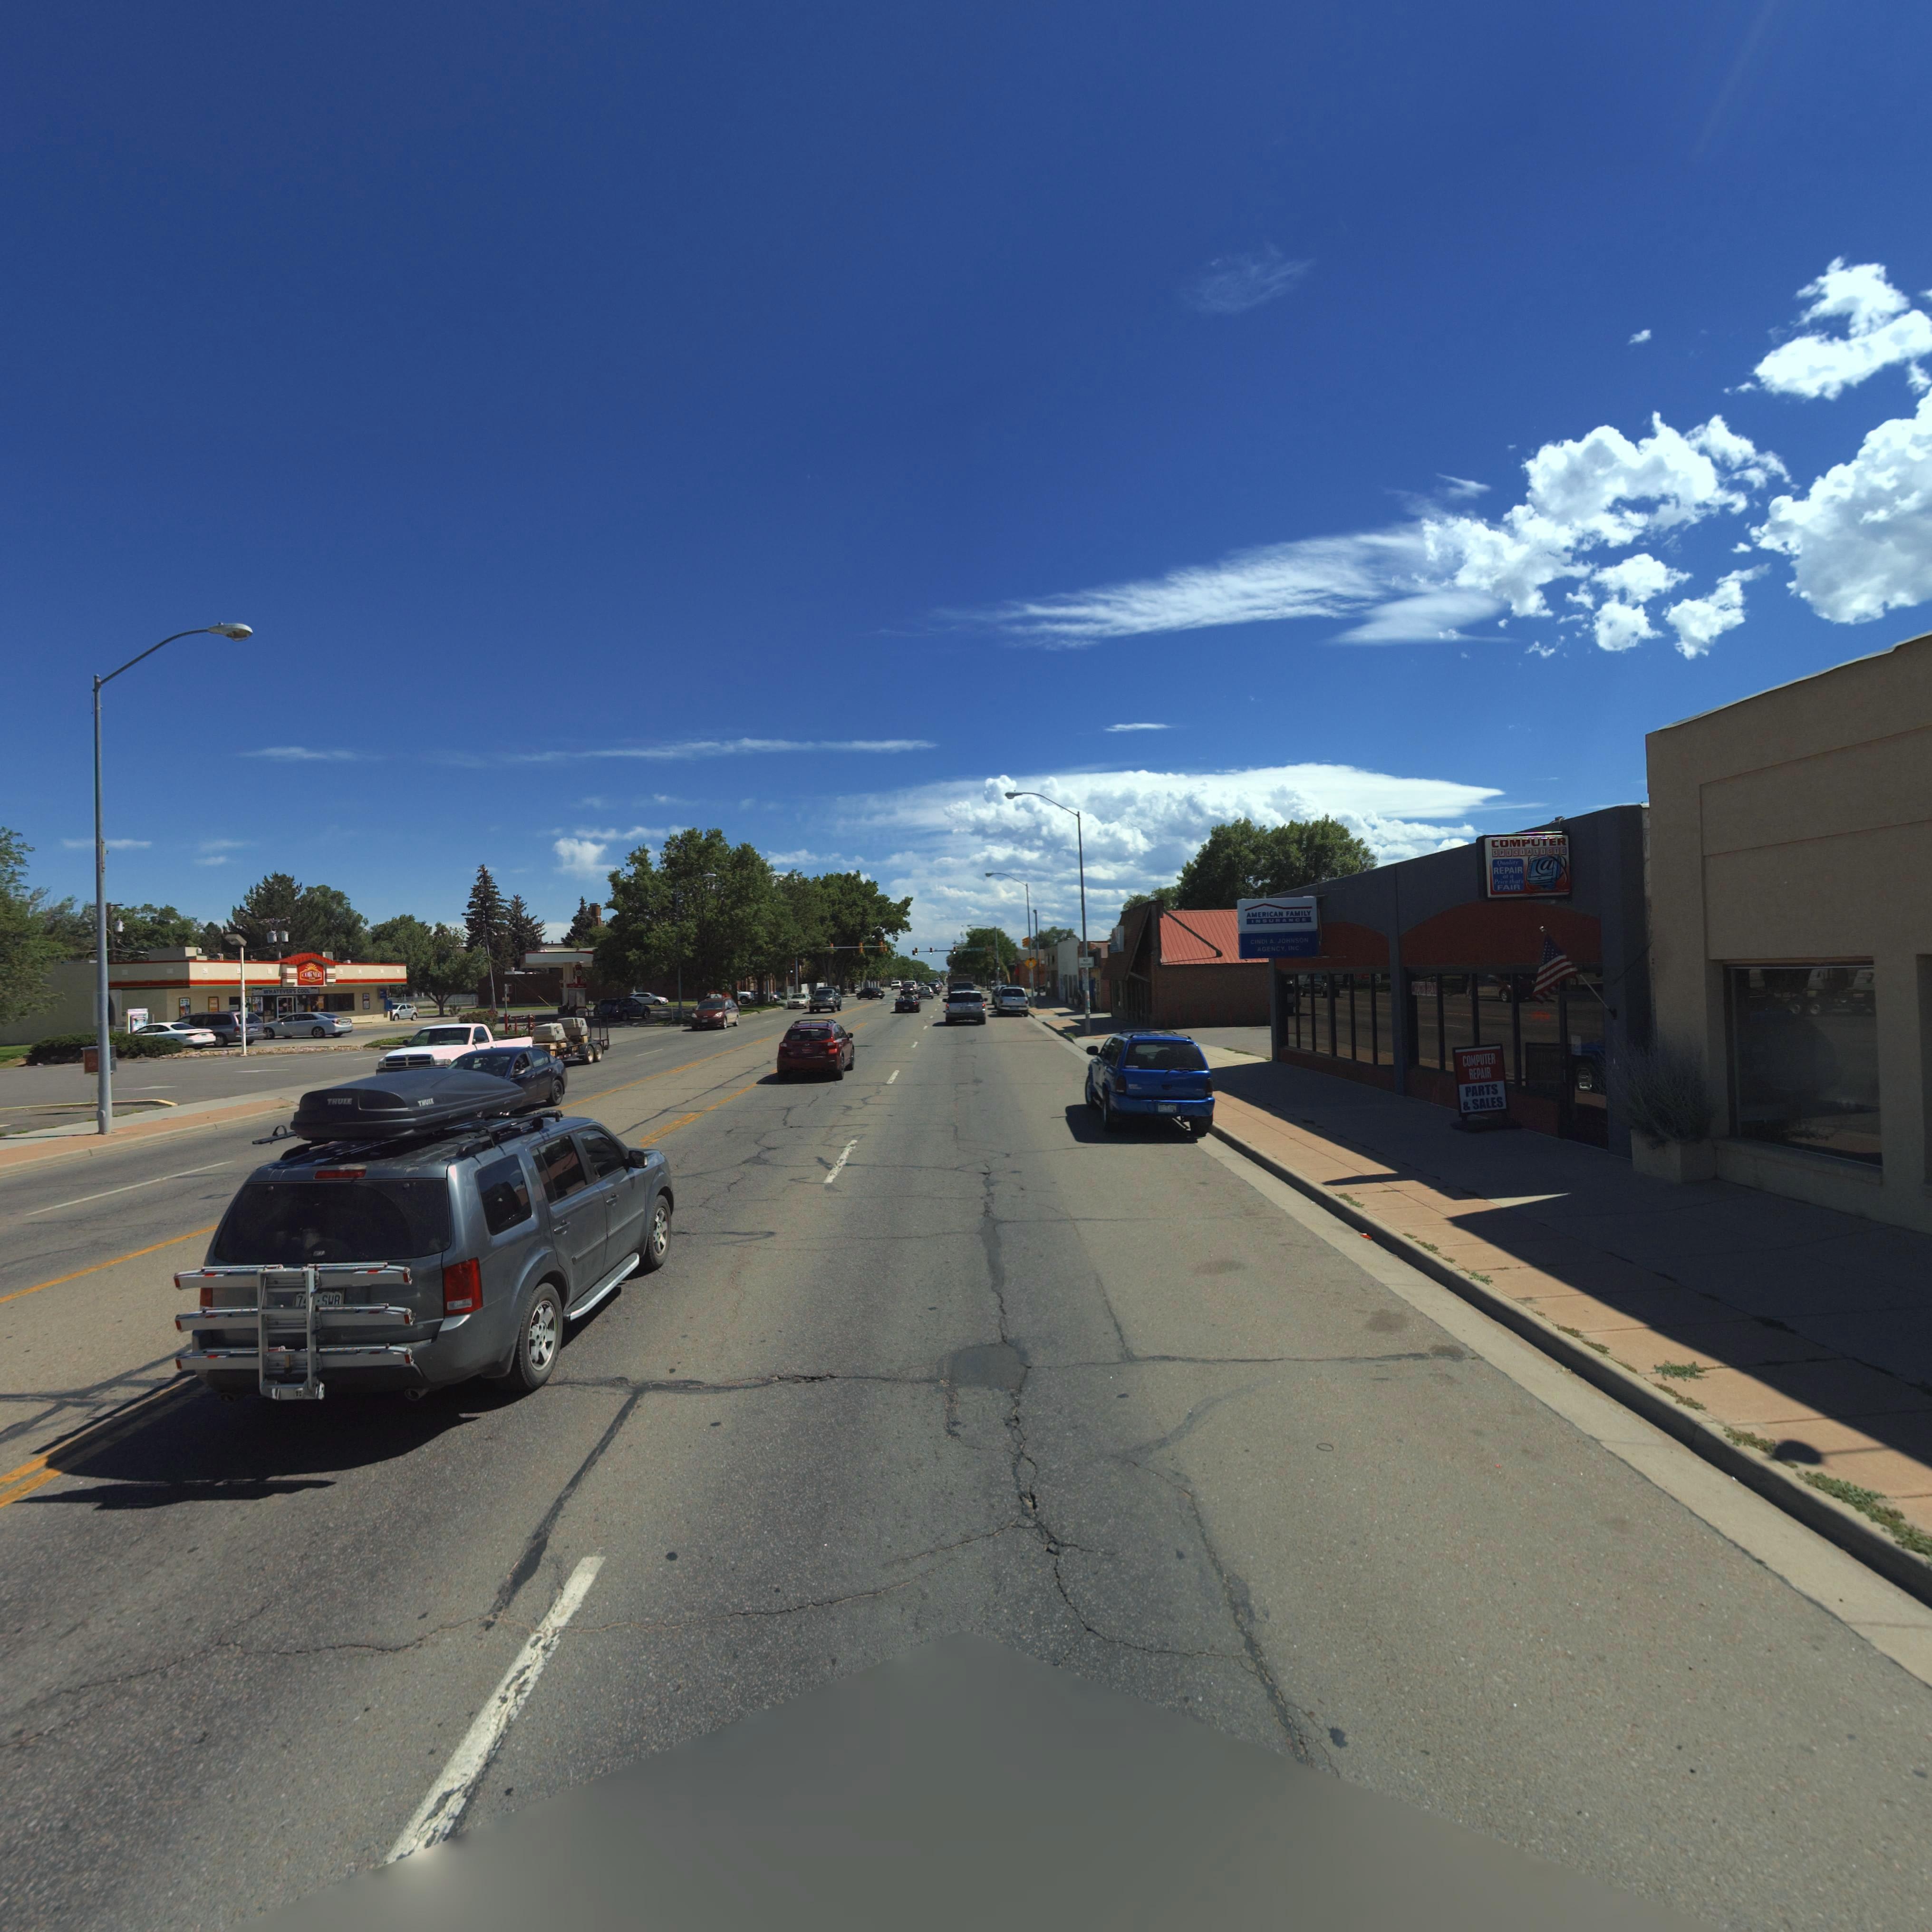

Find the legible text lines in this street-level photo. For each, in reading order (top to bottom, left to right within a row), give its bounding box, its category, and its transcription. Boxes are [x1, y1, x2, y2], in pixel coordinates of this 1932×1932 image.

[1491, 837, 1566, 848] BusinessName: COMPUTER
[1493, 848, 1565, 855] BusinessName: SPECIALISTS
[1246, 910, 1311, 918] BusinessName: AMERICAN FAMILY
[1252, 918, 1306, 923] BusinessName: INSURANCE
[1250, 937, 1308, 945] BusinessName: CINDI A. JOHNSON
[1256, 945, 1302, 952] BusinessName: AGENCY, INC.
[301, 970, 321, 977] BusinessName: CORNE*